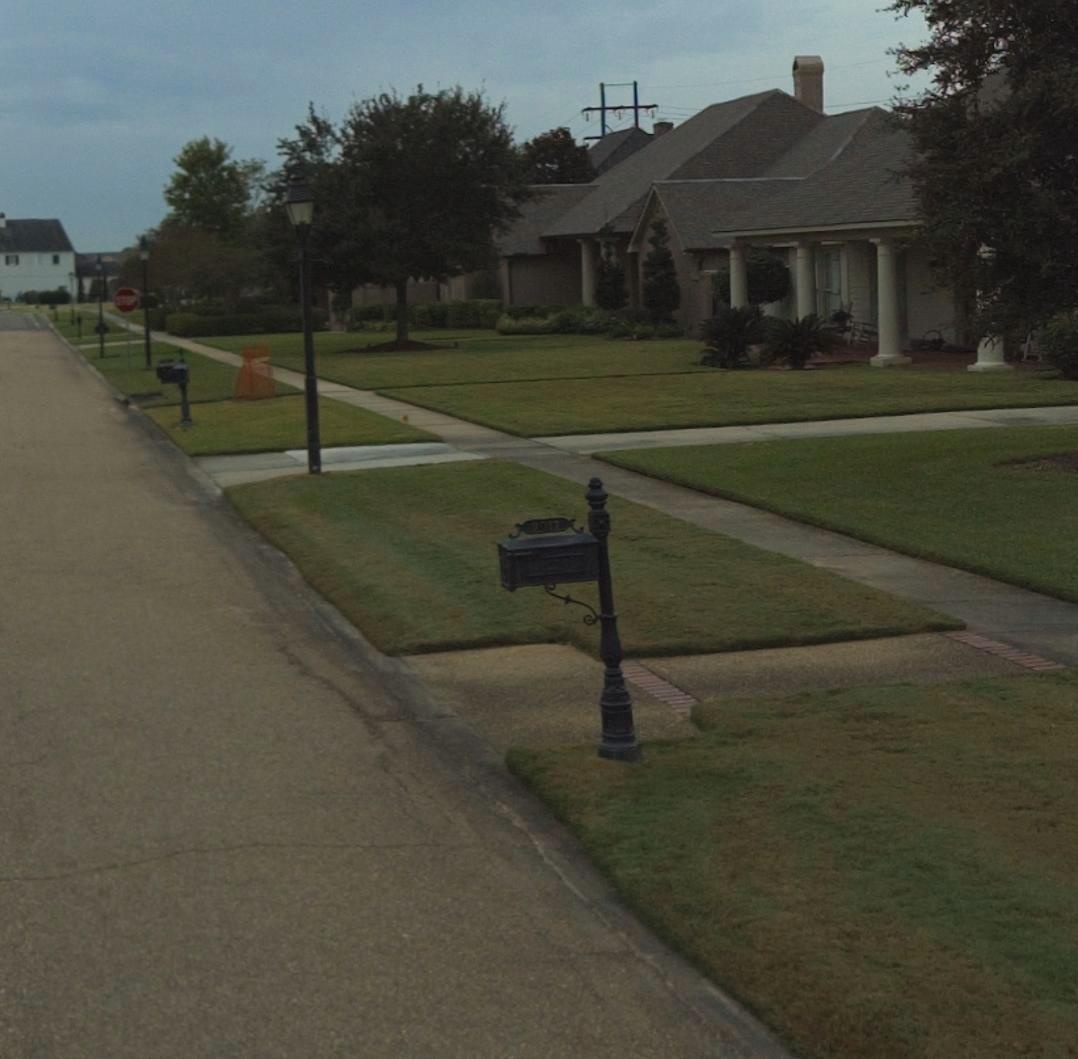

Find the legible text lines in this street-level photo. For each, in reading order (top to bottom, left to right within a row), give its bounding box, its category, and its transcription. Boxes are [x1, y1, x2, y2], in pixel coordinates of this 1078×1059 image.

[111, 293, 137, 304] None: STOP
[529, 520, 560, 534] StreetNumber: 7017